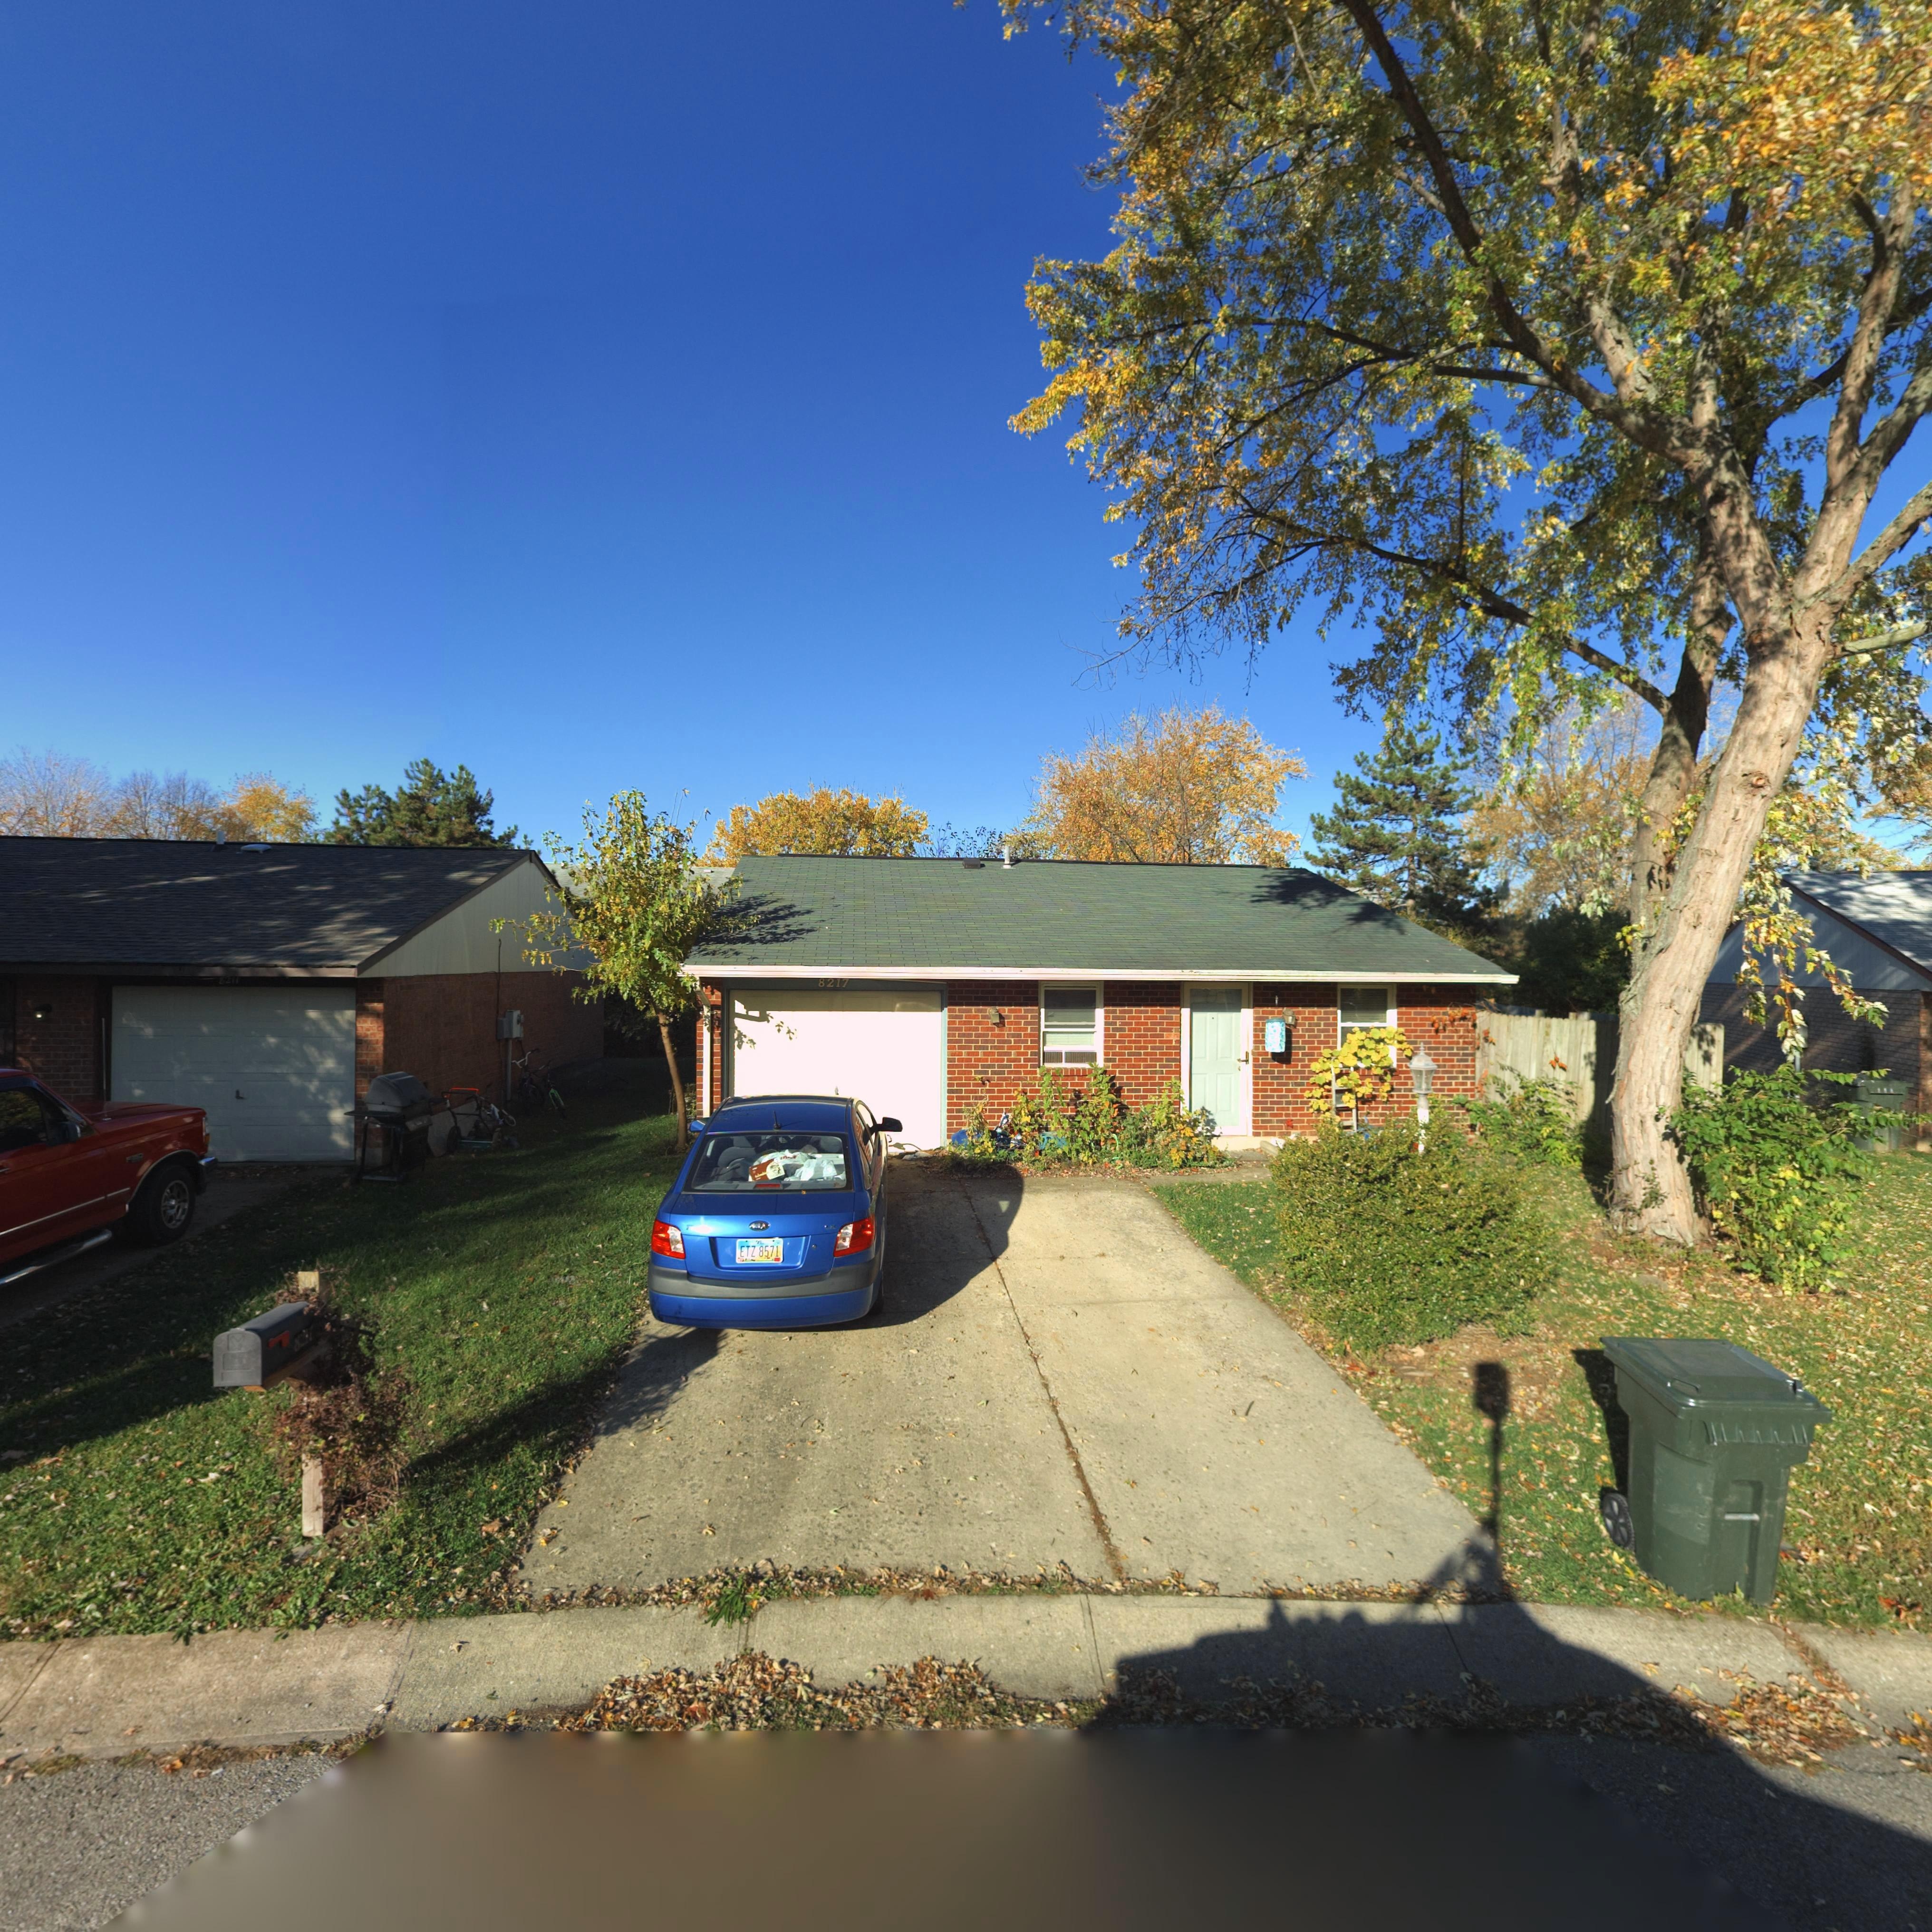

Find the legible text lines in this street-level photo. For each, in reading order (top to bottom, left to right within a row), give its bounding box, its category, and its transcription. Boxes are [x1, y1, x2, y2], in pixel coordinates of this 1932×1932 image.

[218, 976, 240, 985] StreetNumber: 8211
[817, 978, 851, 988] StreetNumber: 8217